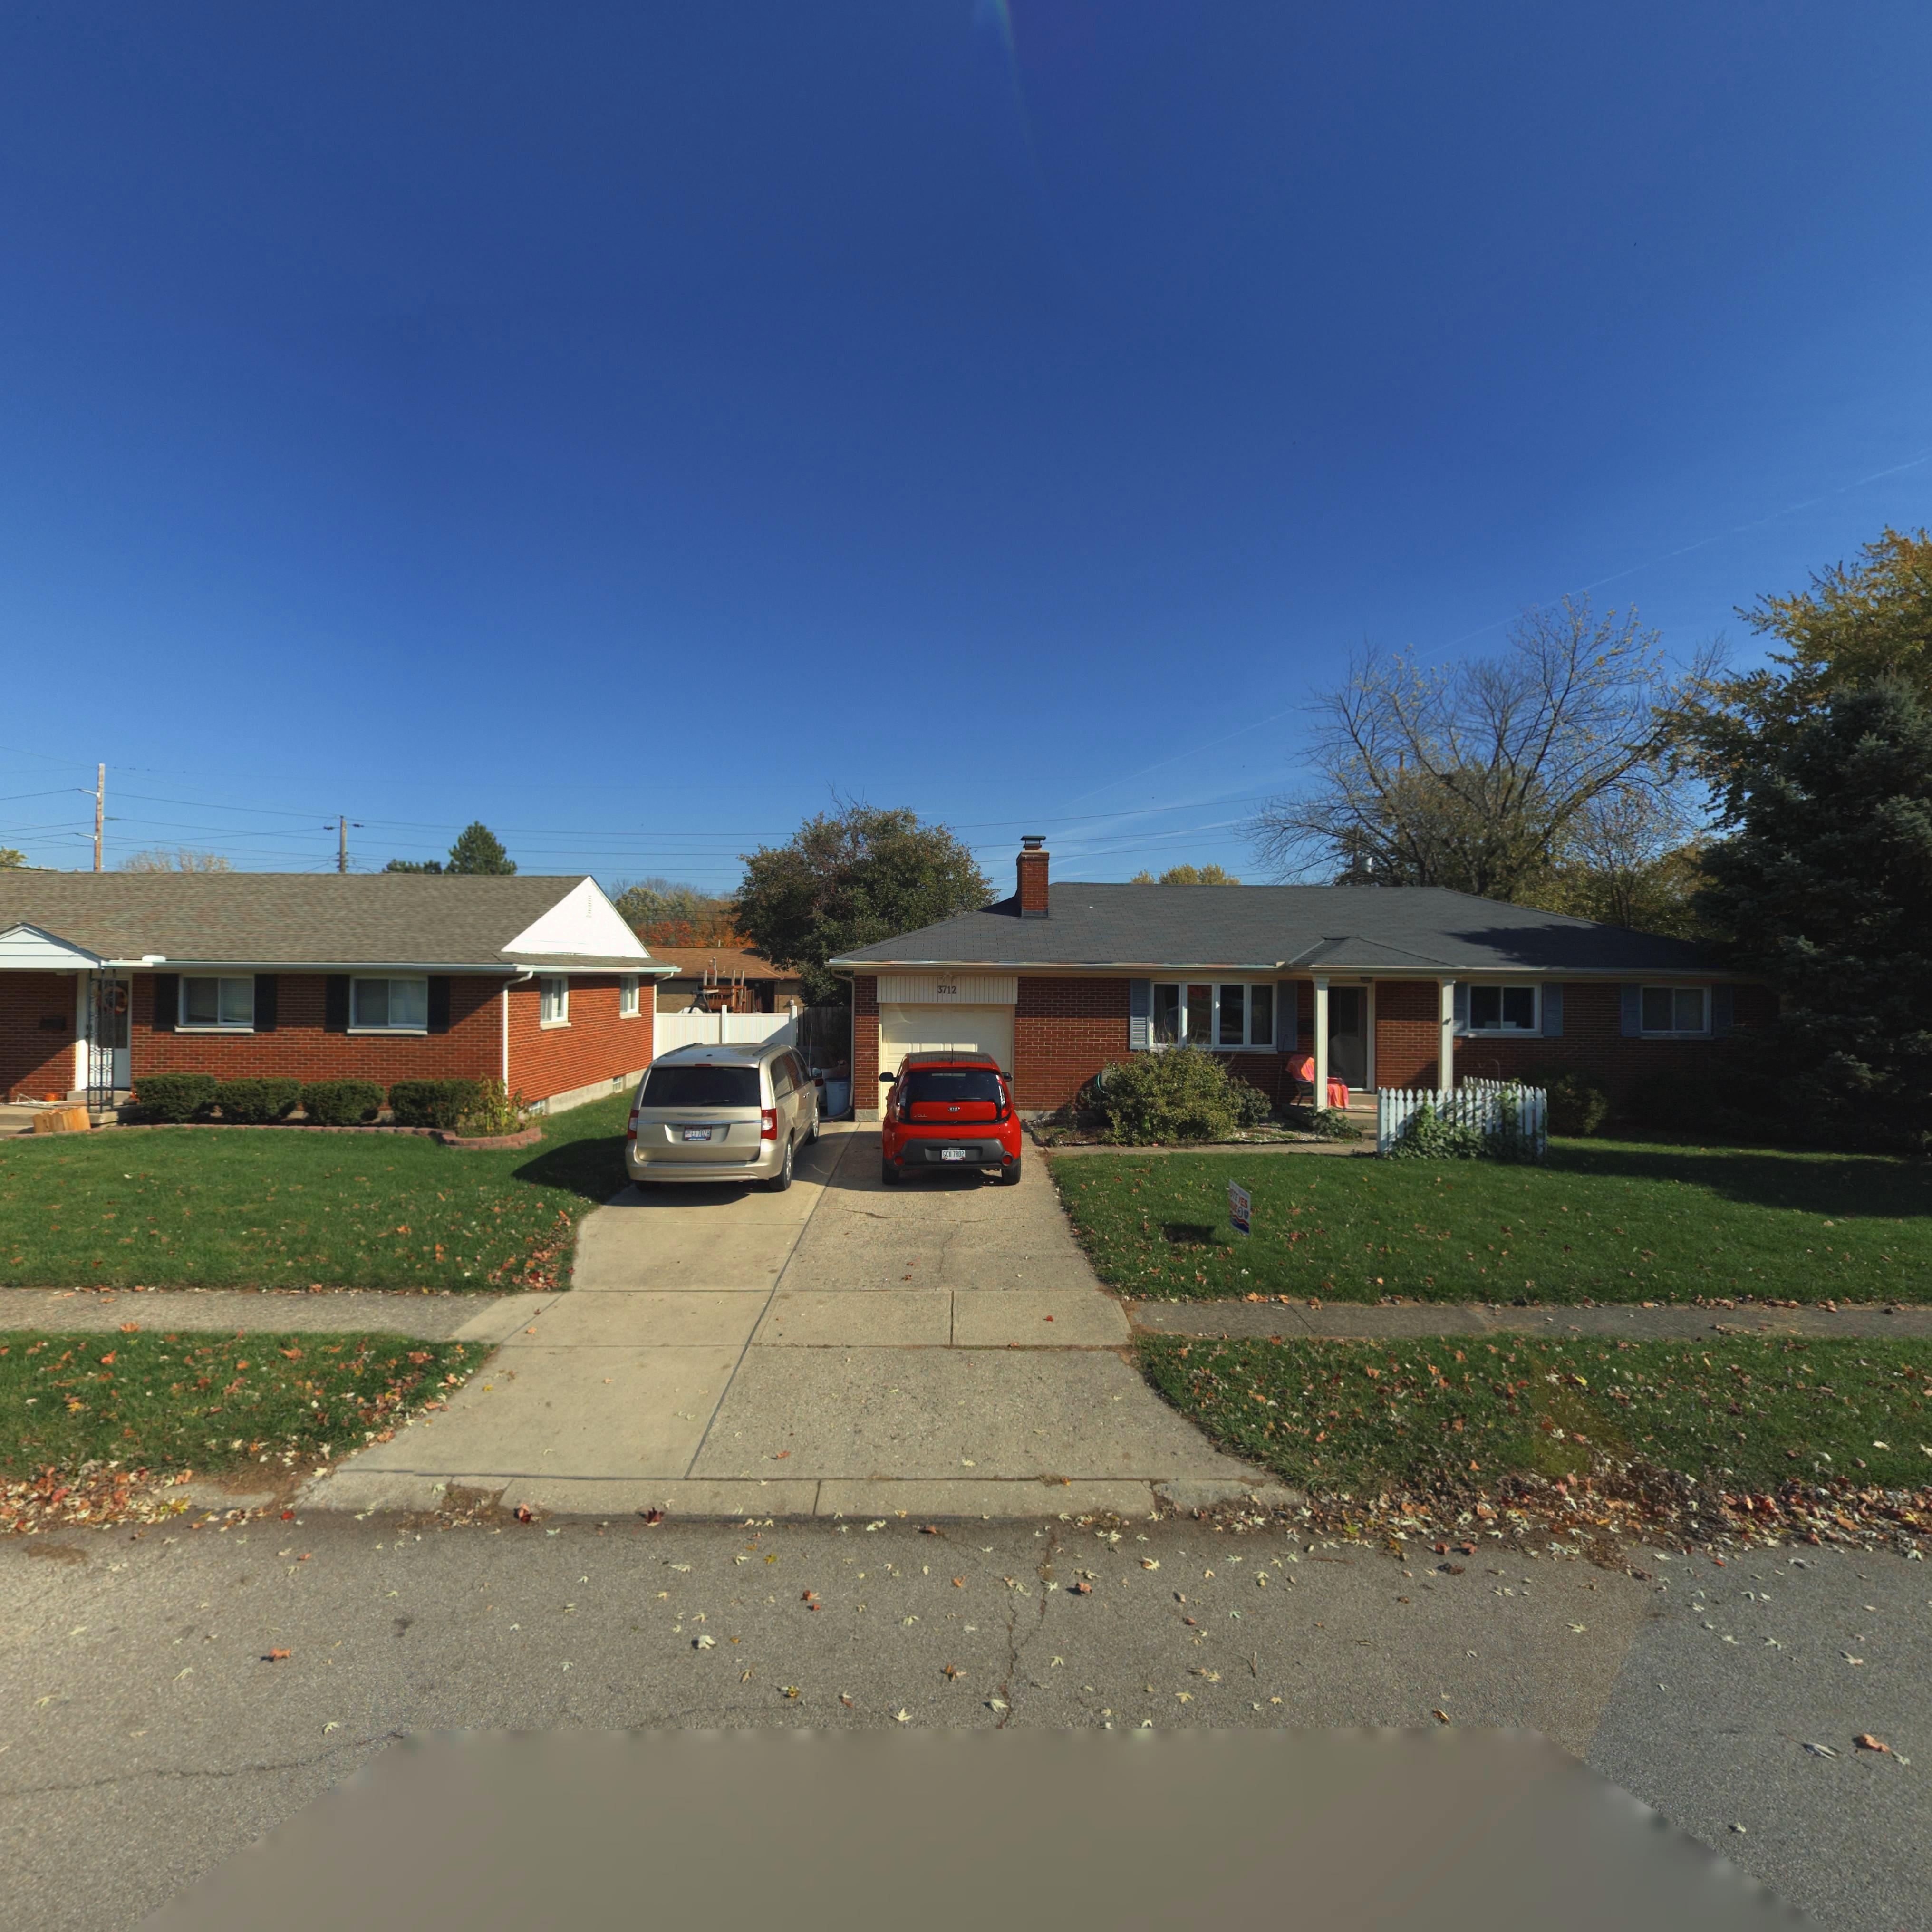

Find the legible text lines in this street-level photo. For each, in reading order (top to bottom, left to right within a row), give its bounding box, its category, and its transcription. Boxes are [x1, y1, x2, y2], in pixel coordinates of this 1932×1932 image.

[937, 984, 958, 995] StreetNumber: 3712